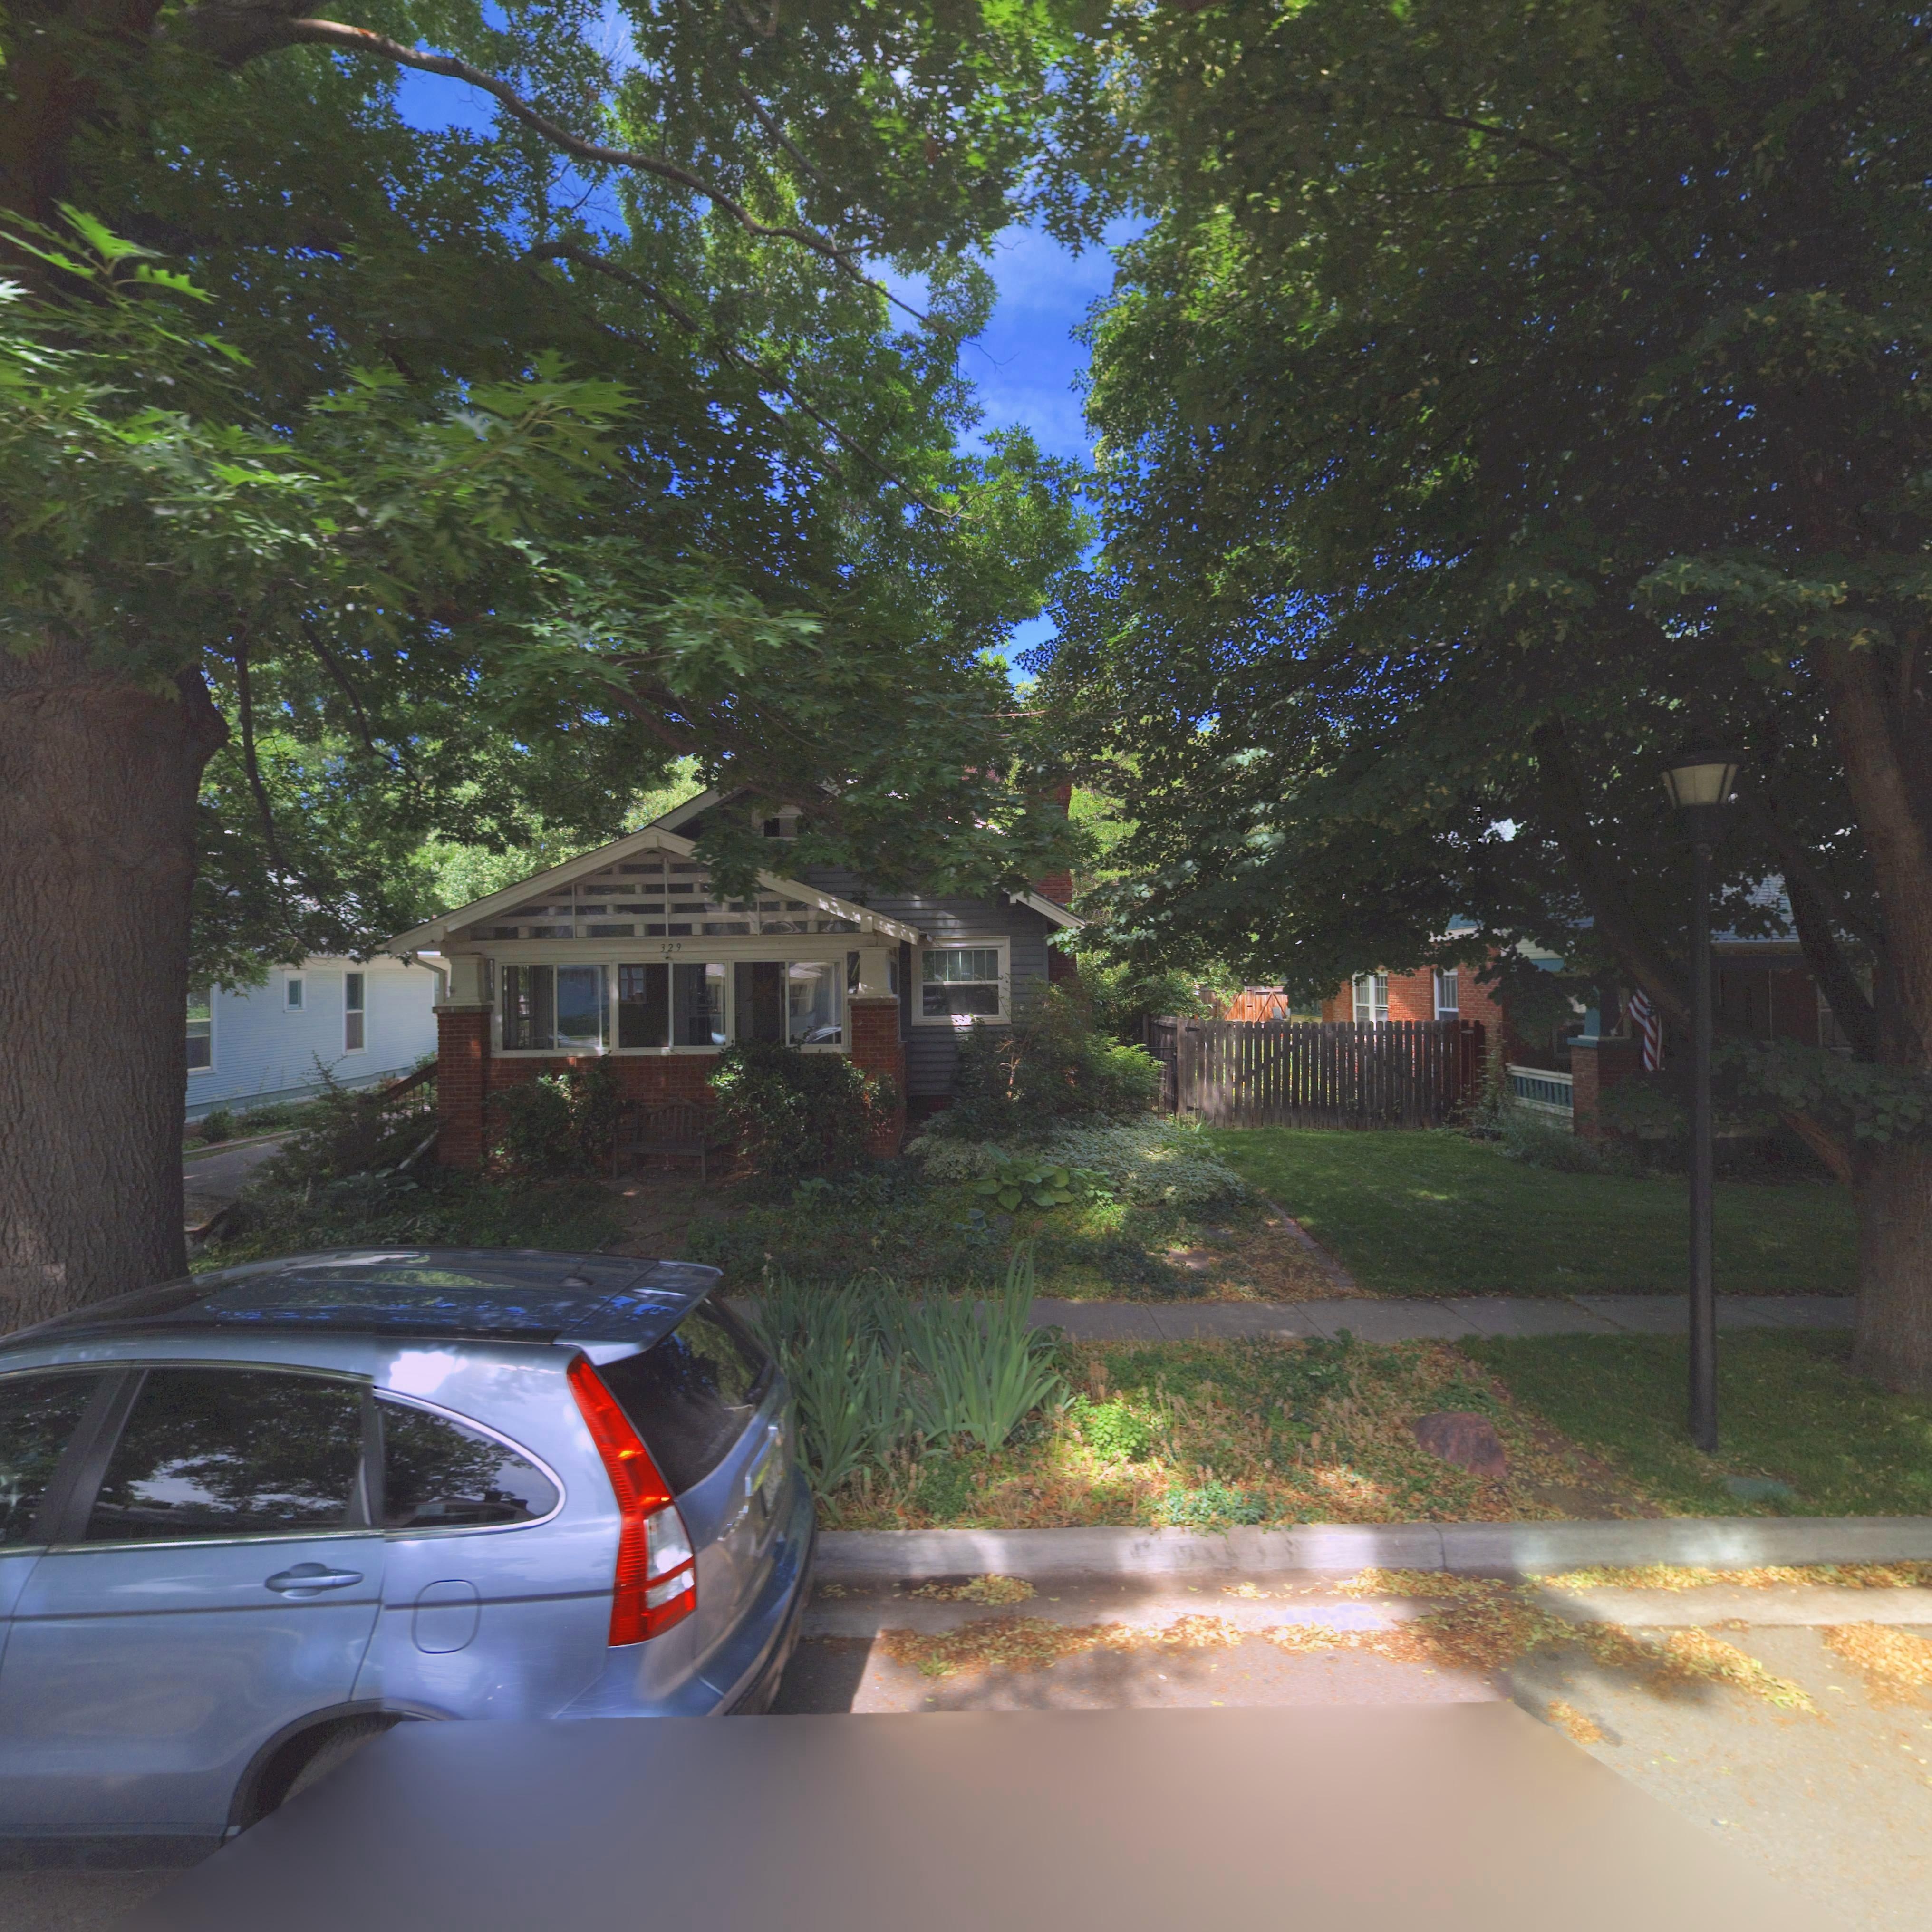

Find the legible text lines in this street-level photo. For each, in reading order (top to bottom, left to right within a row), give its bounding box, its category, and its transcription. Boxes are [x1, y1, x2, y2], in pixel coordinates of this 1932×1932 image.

[659, 943, 681, 952] StreetNumber: 329